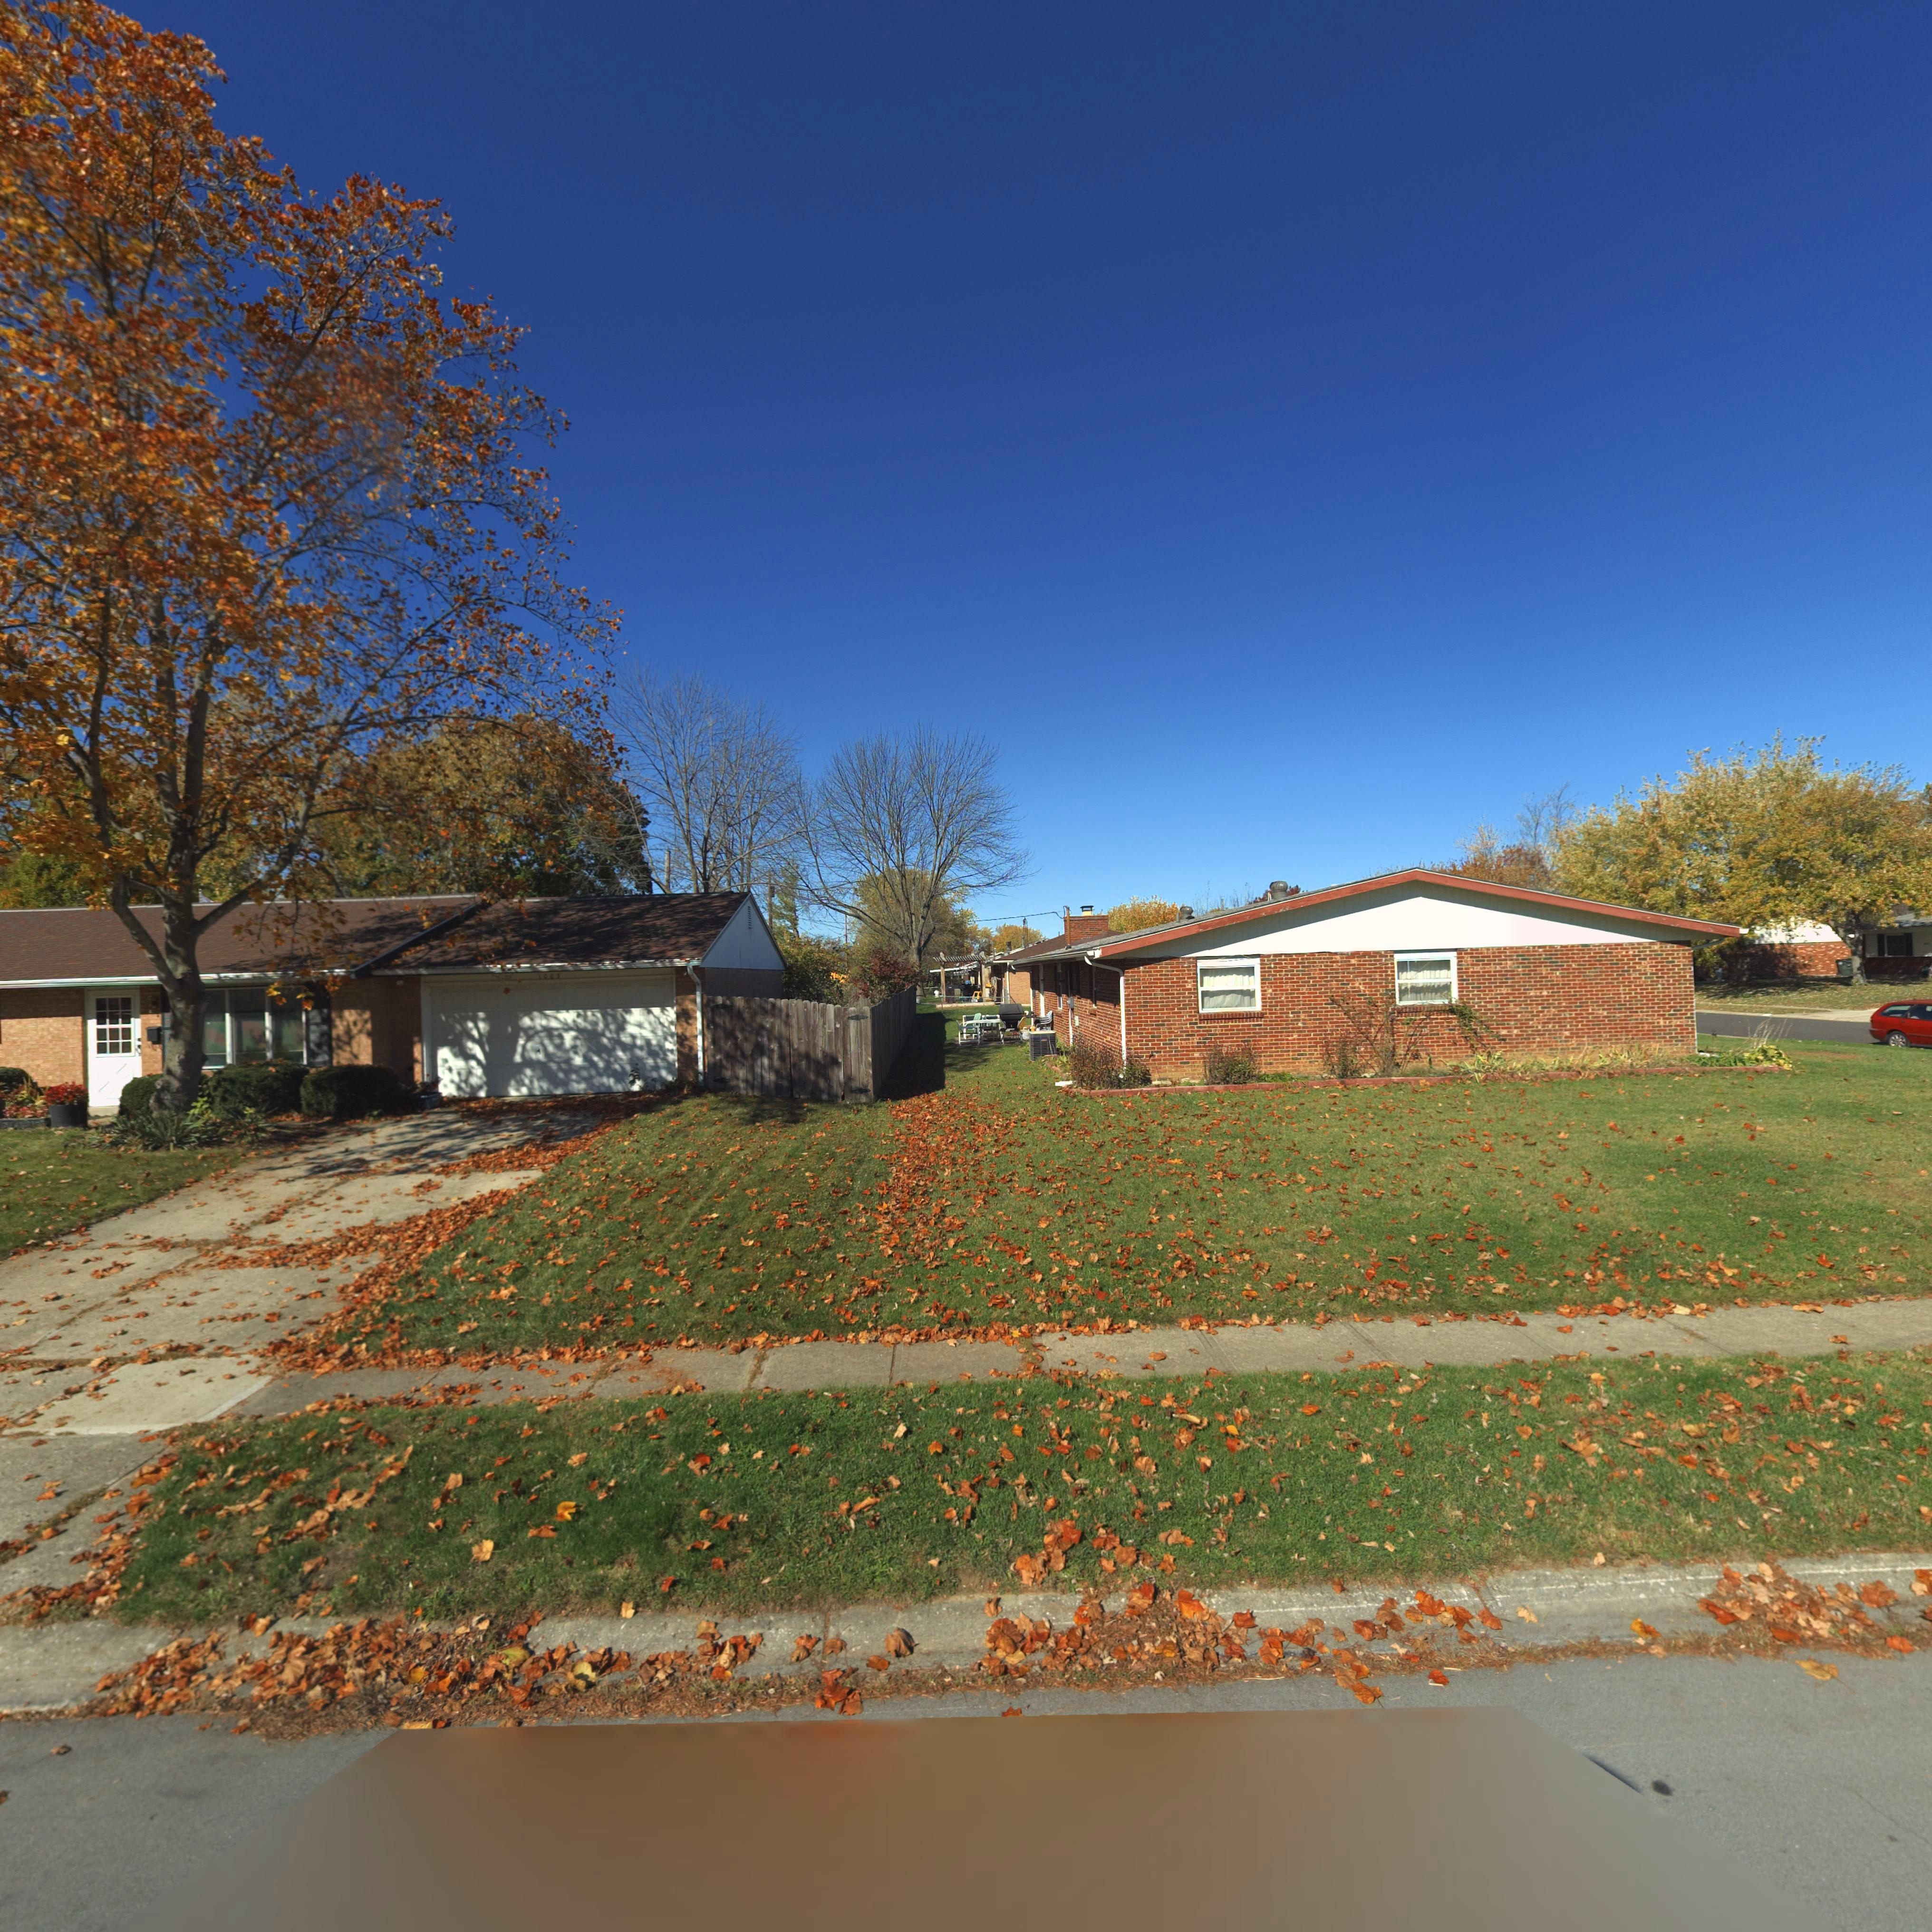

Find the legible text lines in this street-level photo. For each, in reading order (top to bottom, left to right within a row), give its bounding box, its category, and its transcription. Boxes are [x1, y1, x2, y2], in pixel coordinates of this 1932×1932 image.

[538, 973, 560, 979] StreetNumber: 1003